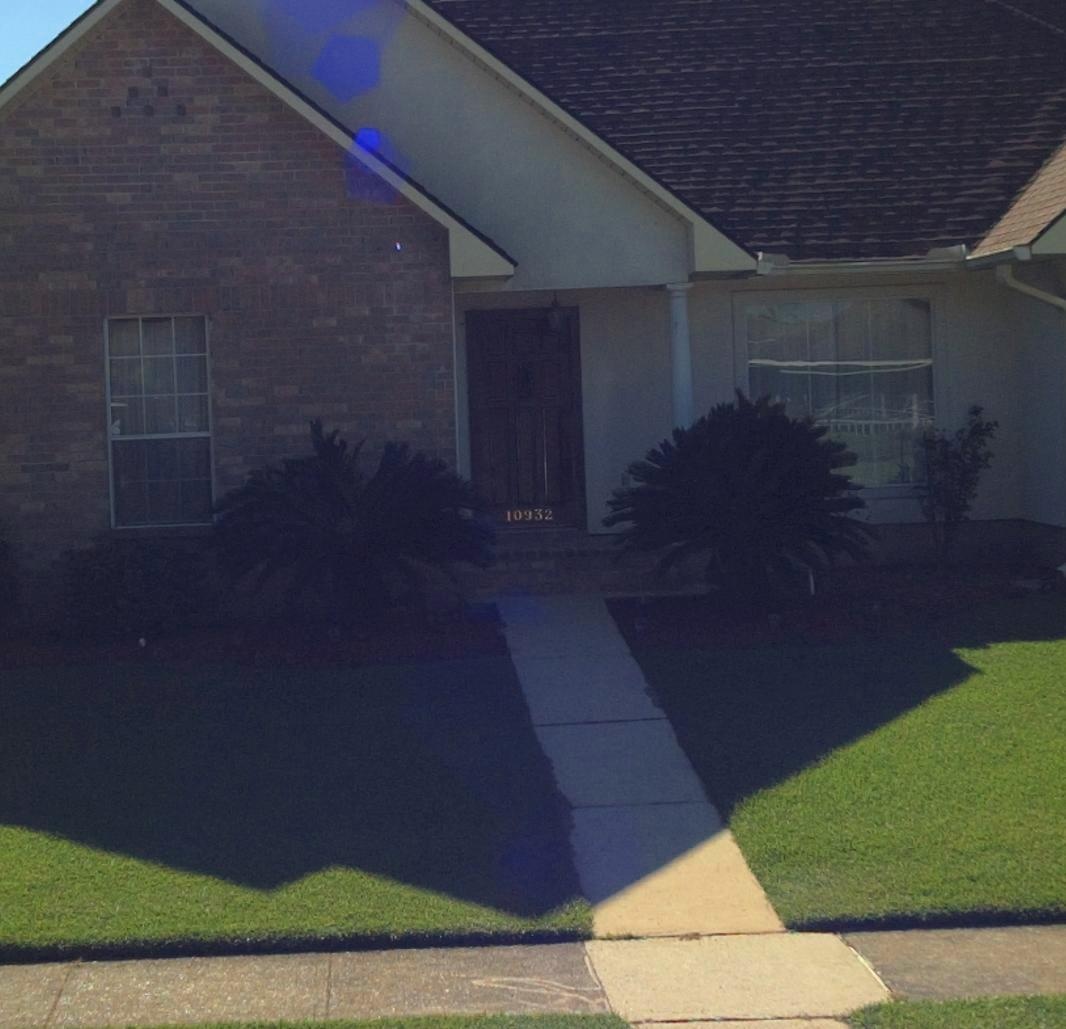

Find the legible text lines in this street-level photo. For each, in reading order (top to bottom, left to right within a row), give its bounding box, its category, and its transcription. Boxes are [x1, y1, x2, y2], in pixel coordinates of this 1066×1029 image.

[504, 507, 554, 523] StreetNumber: 10932